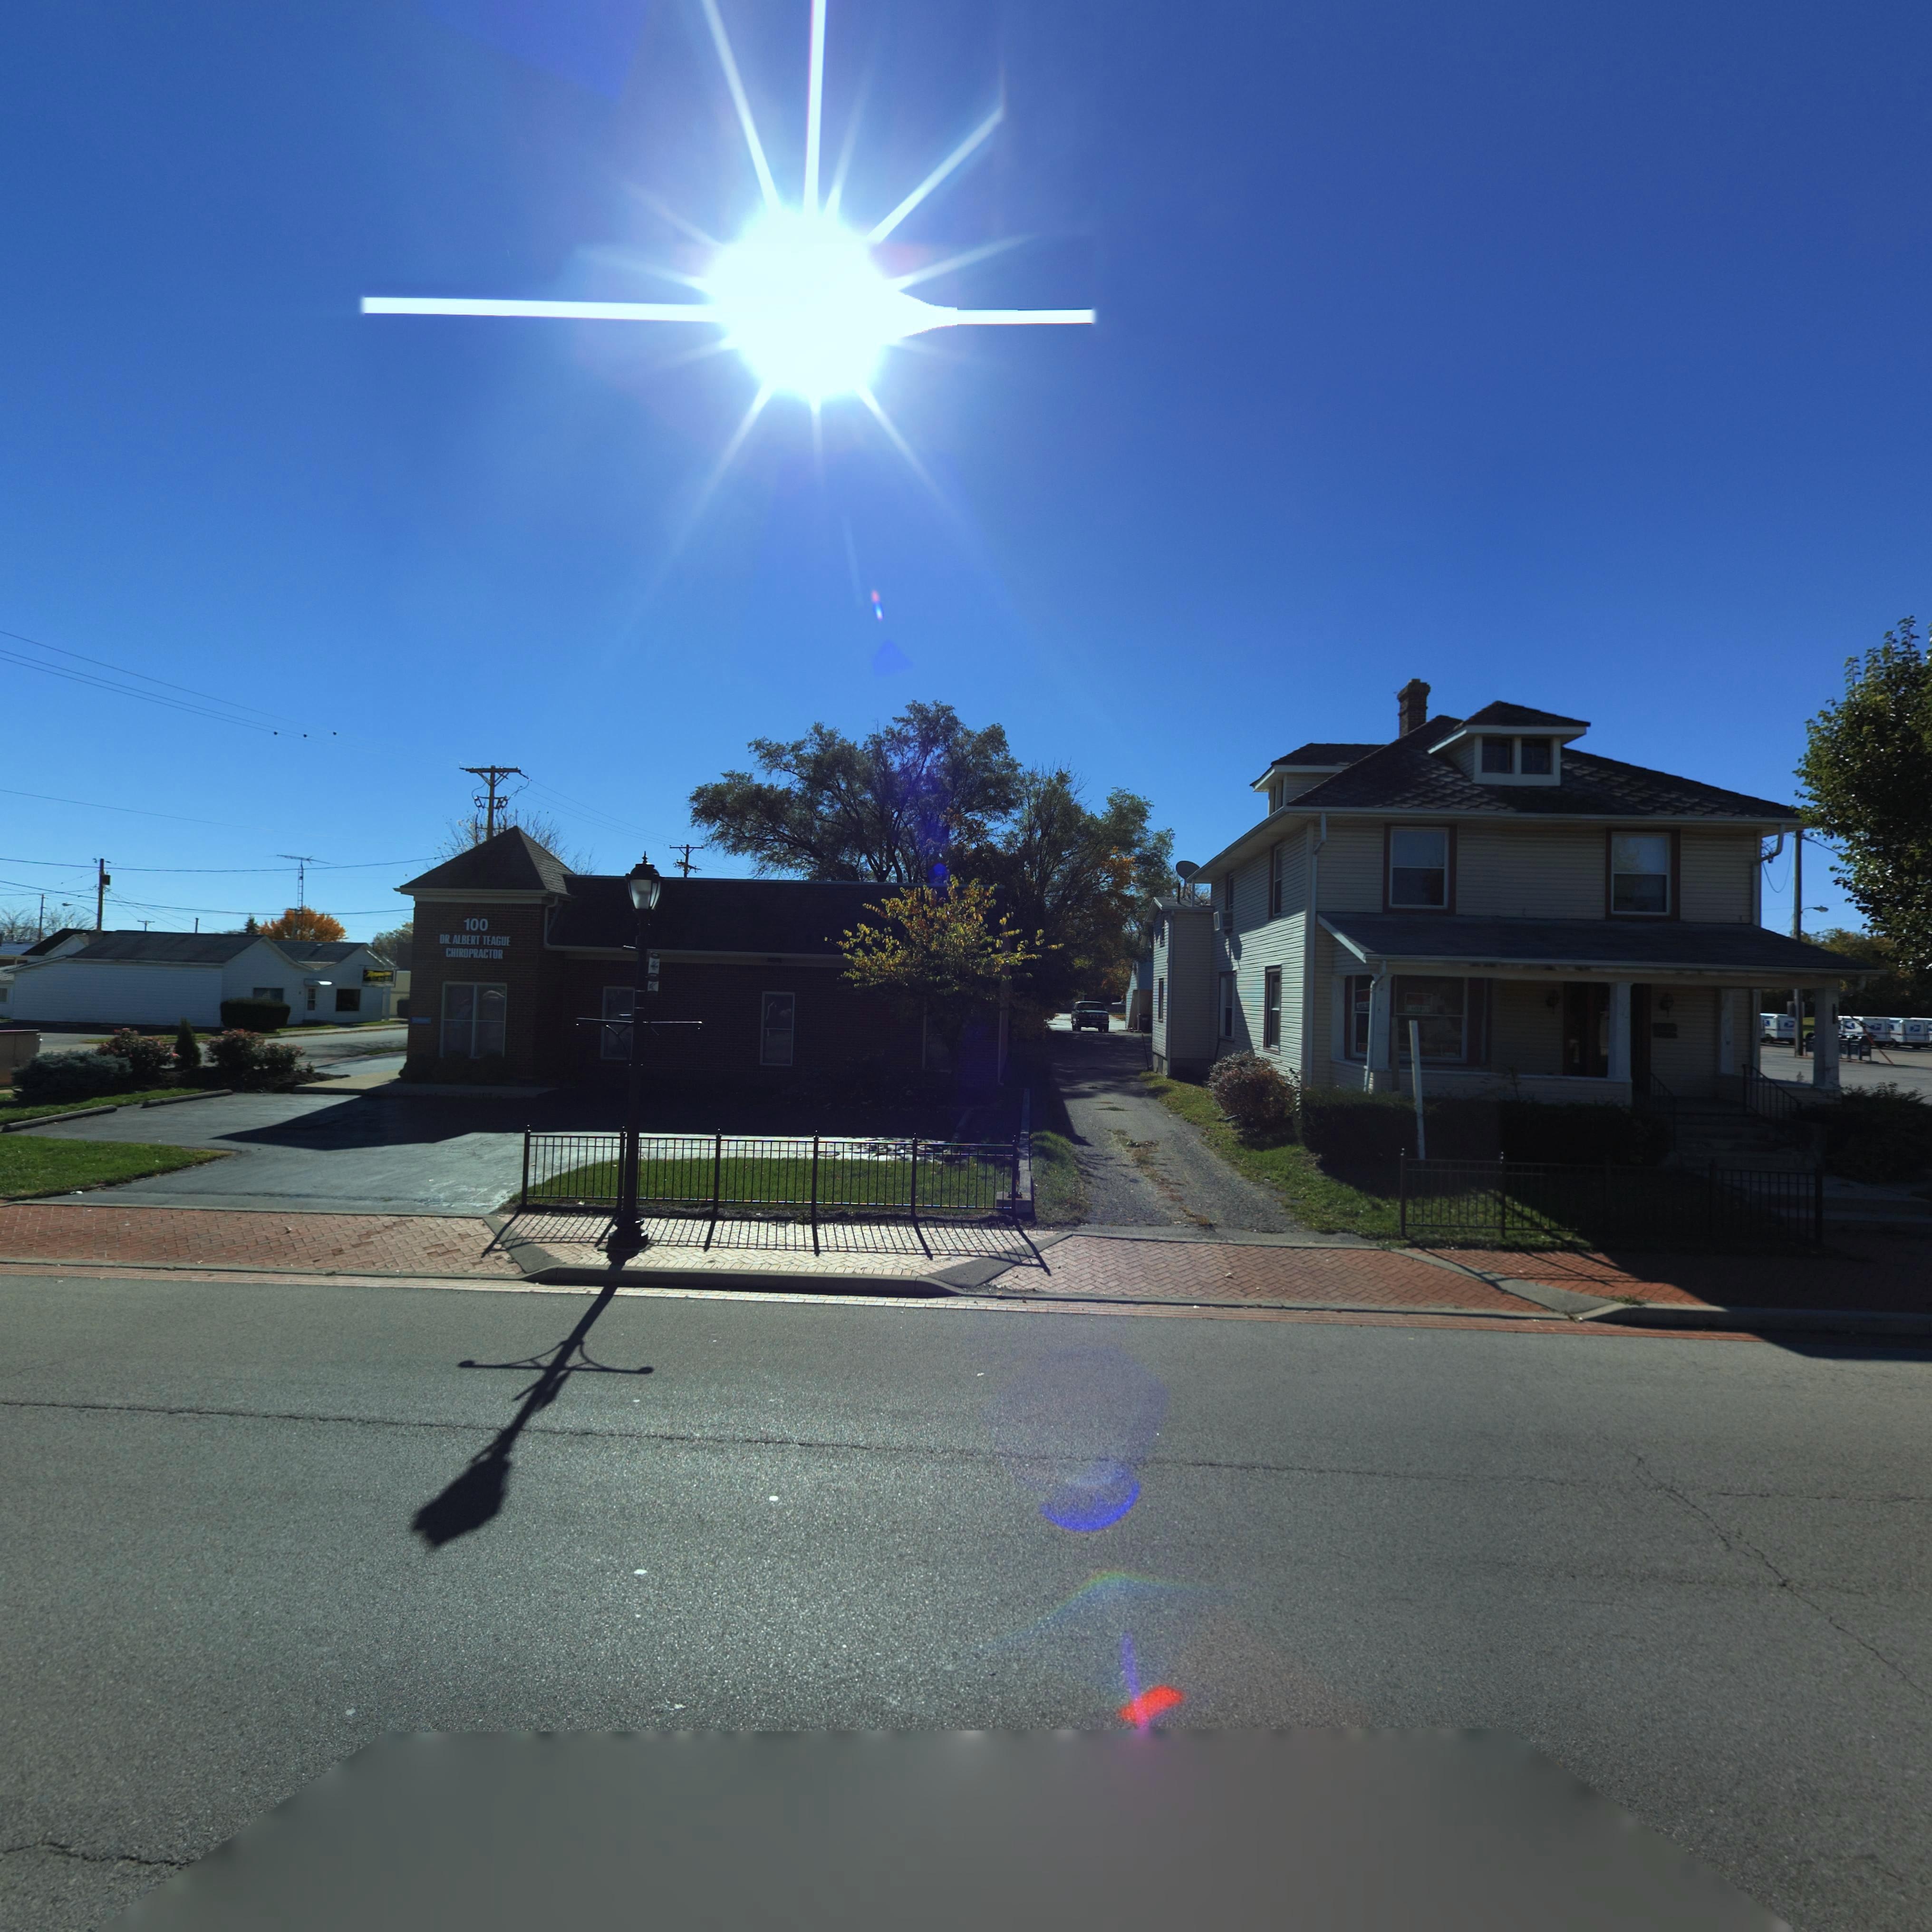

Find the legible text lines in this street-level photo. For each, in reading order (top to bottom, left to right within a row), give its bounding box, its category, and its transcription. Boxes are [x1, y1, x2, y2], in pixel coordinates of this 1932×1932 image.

[463, 918, 489, 931] StreetNumber: 100
[439, 934, 512, 947] BusinessName: DR. ALBERT TEAGUE
[445, 947, 504, 960] BusinessName: CHIROPRACTOR